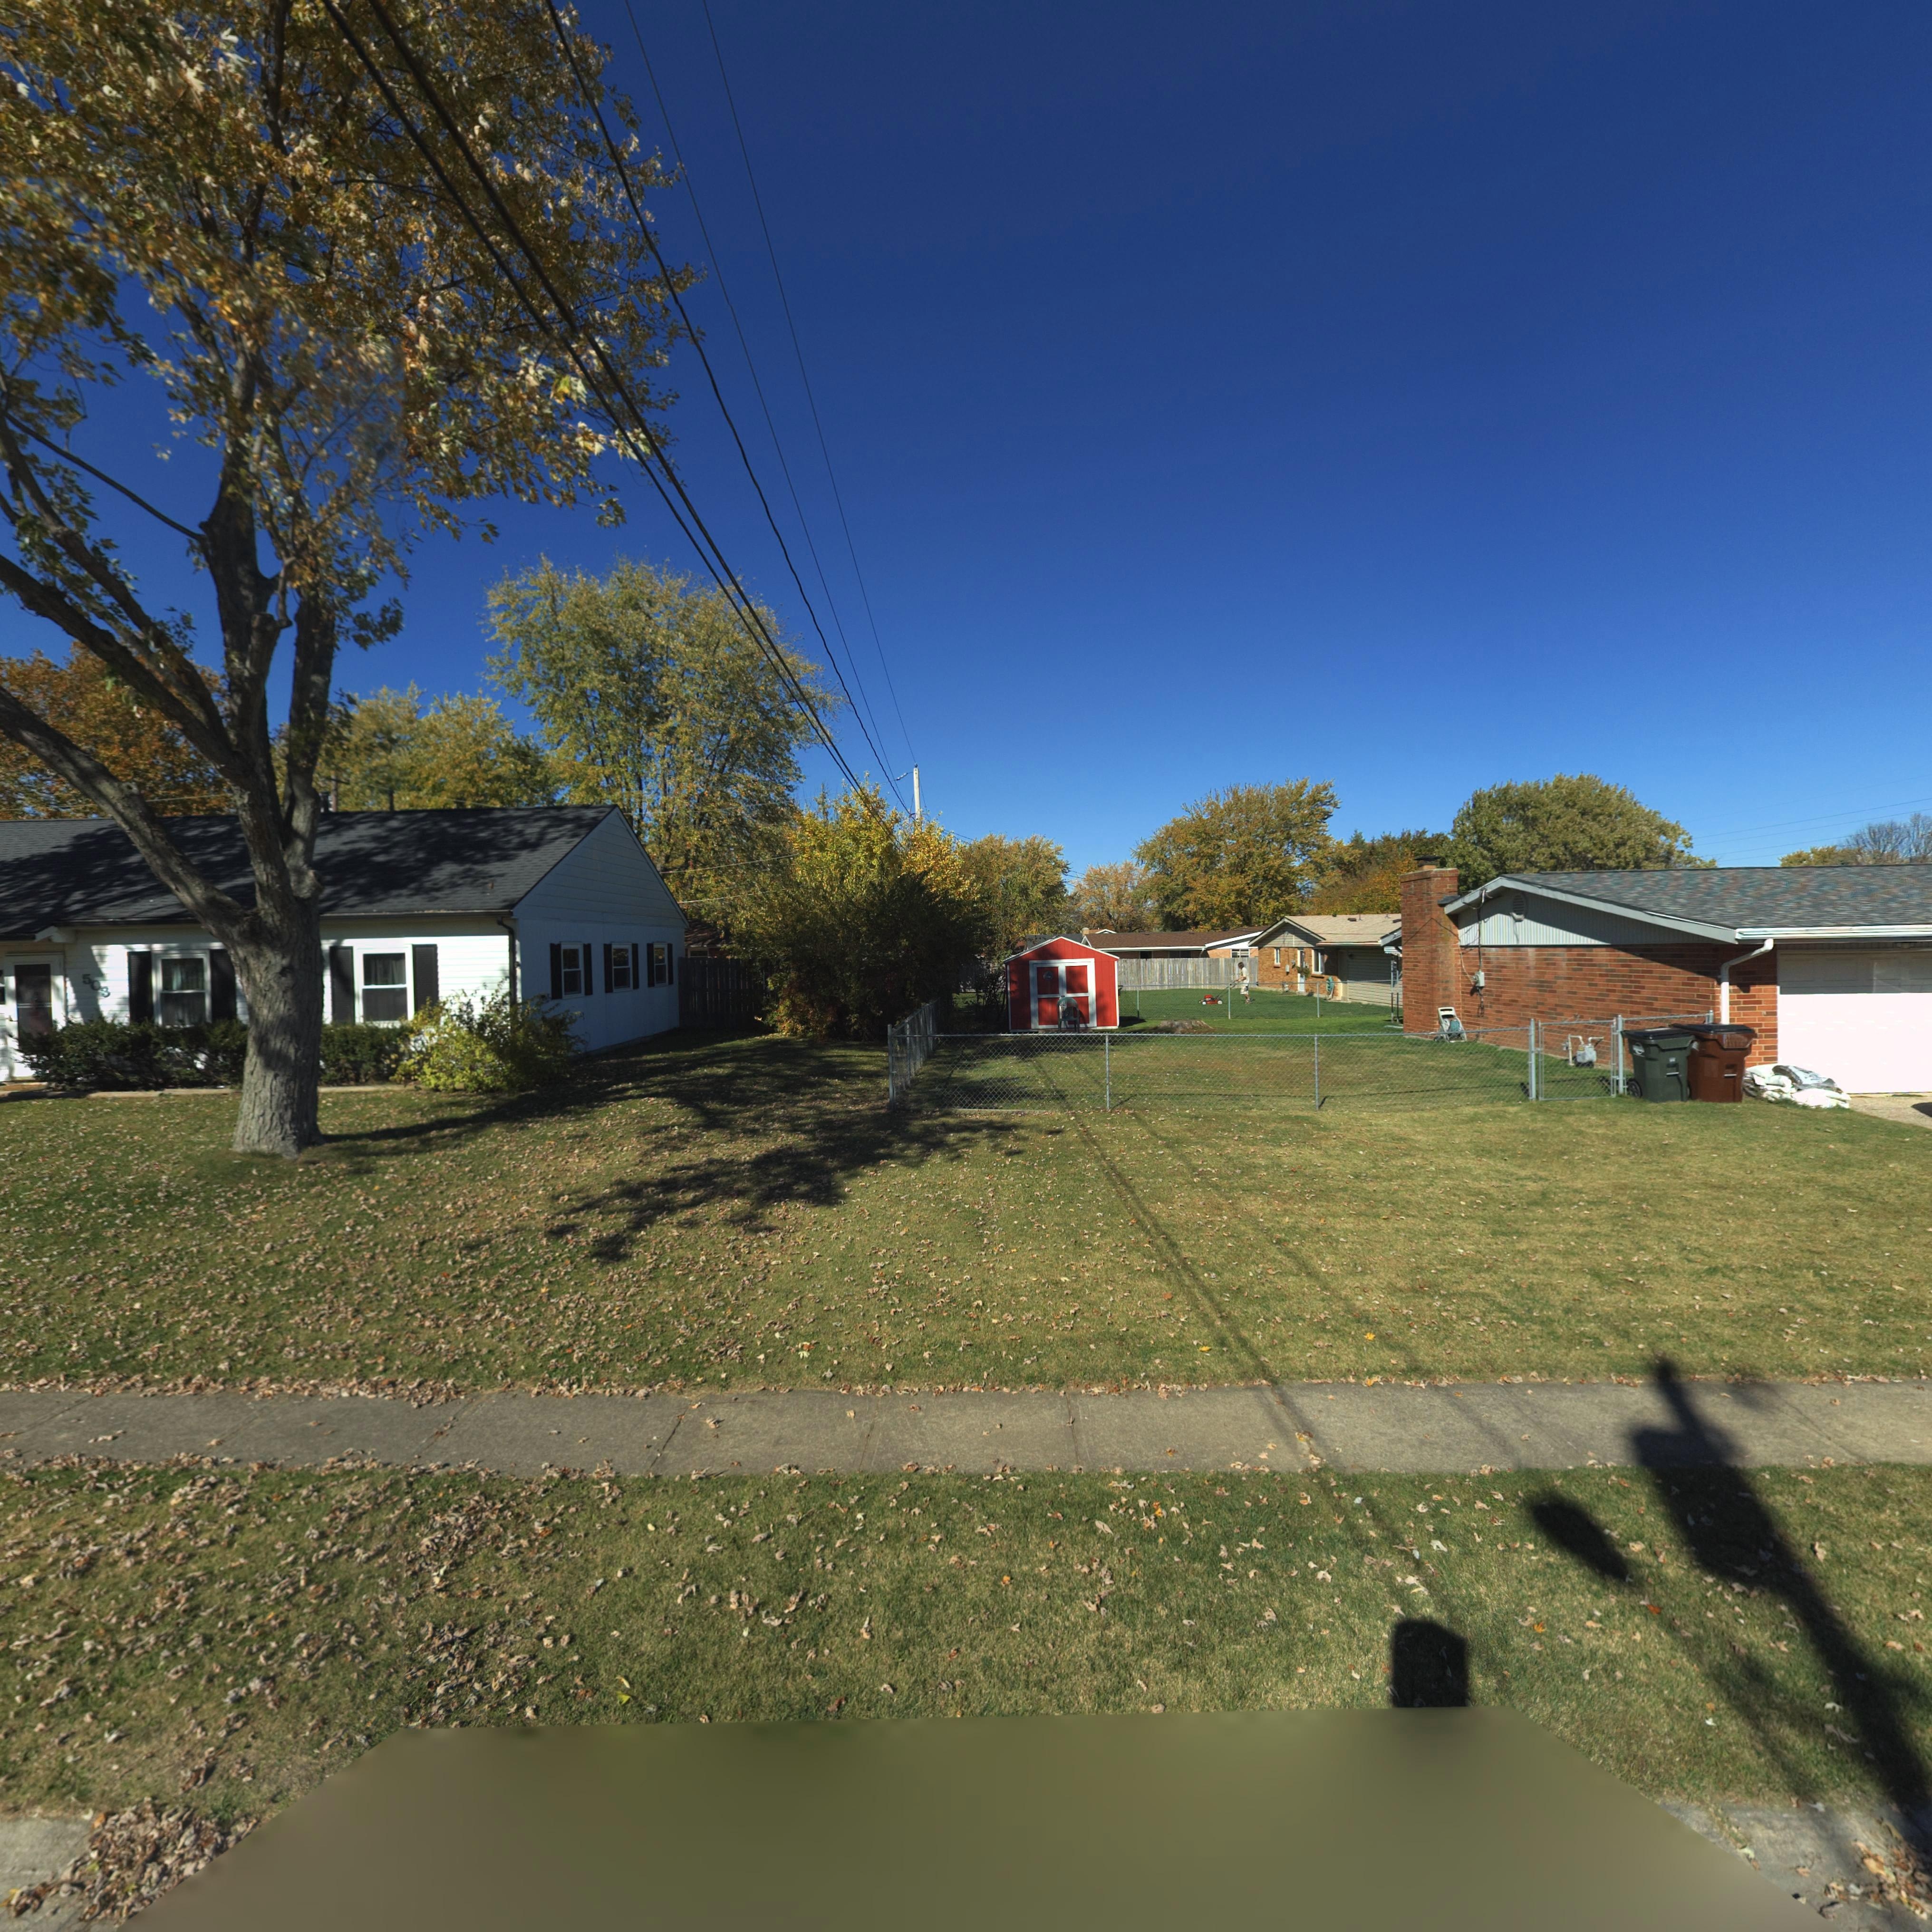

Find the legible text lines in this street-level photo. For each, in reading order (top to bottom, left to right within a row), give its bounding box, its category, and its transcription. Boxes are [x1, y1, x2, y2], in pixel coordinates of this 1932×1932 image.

[81, 973, 111, 999] StreetNumber: 503